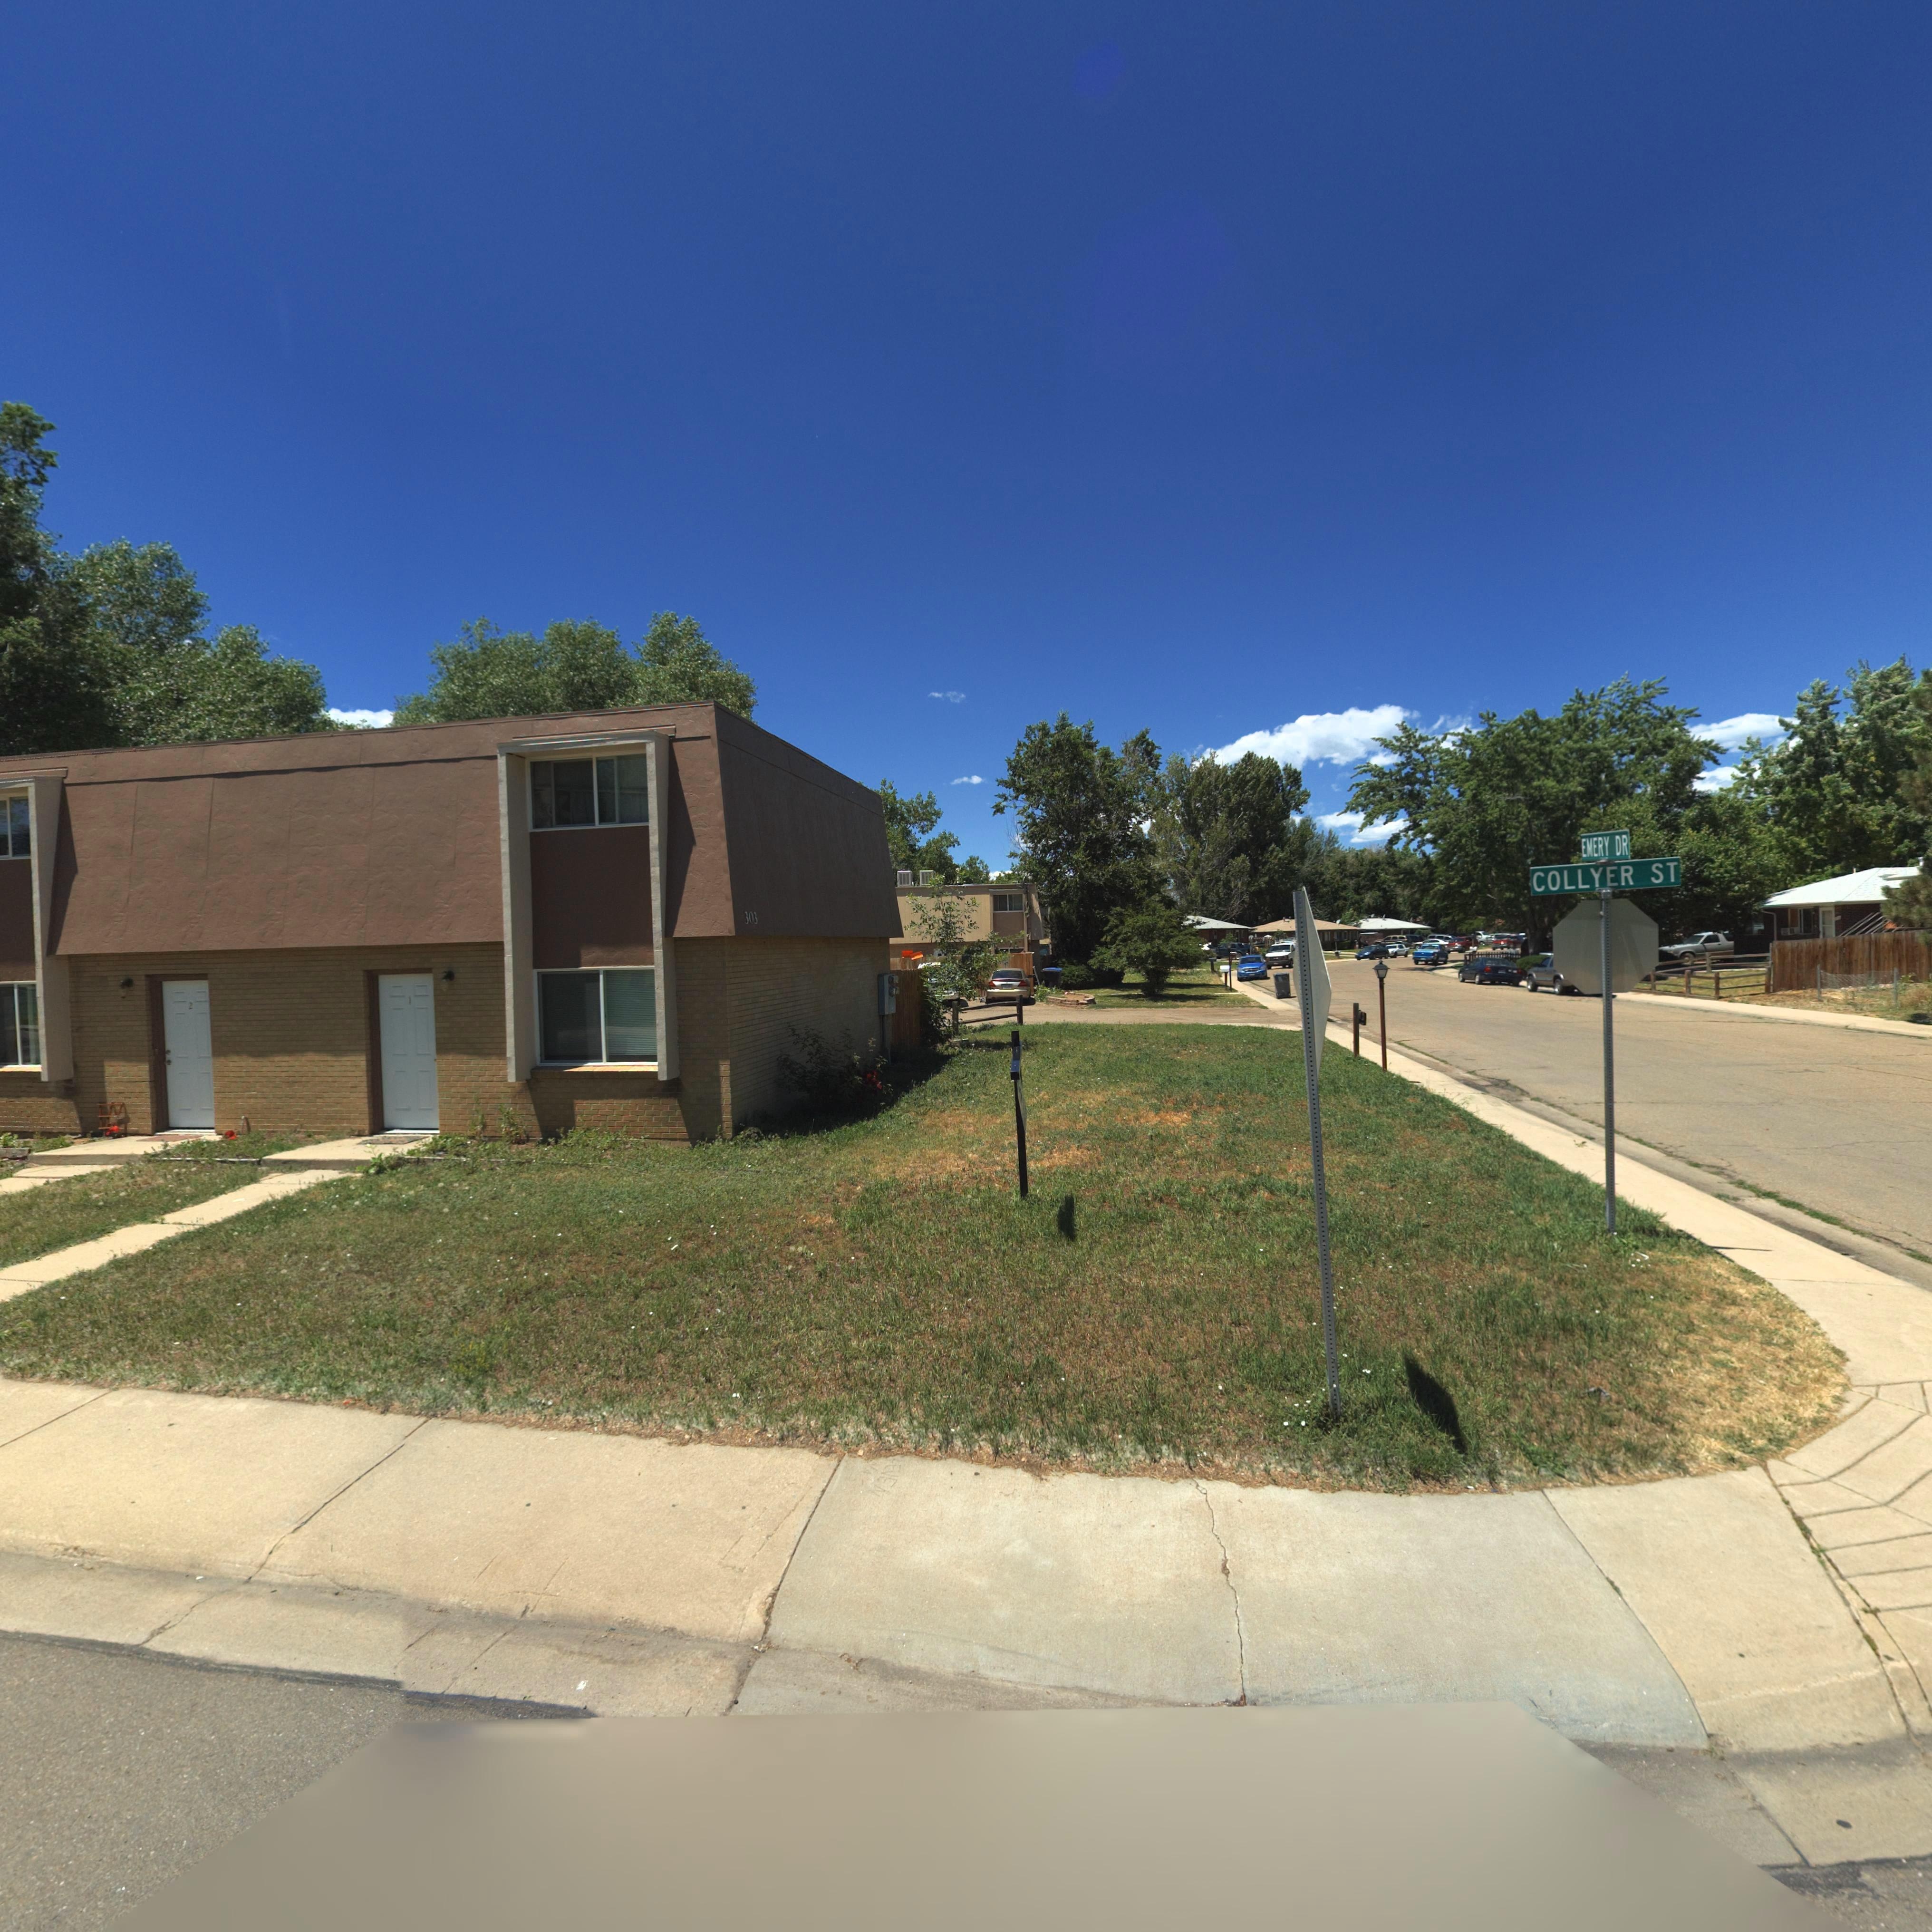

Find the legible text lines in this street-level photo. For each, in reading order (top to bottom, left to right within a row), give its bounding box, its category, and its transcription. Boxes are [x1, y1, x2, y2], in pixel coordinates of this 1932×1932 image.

[1581, 834, 1629, 858] StreetName: EMERY DR
[1532, 860, 1678, 892] StreetName: COLLYER ST
[744, 910, 758, 925] StreetNumber: 303